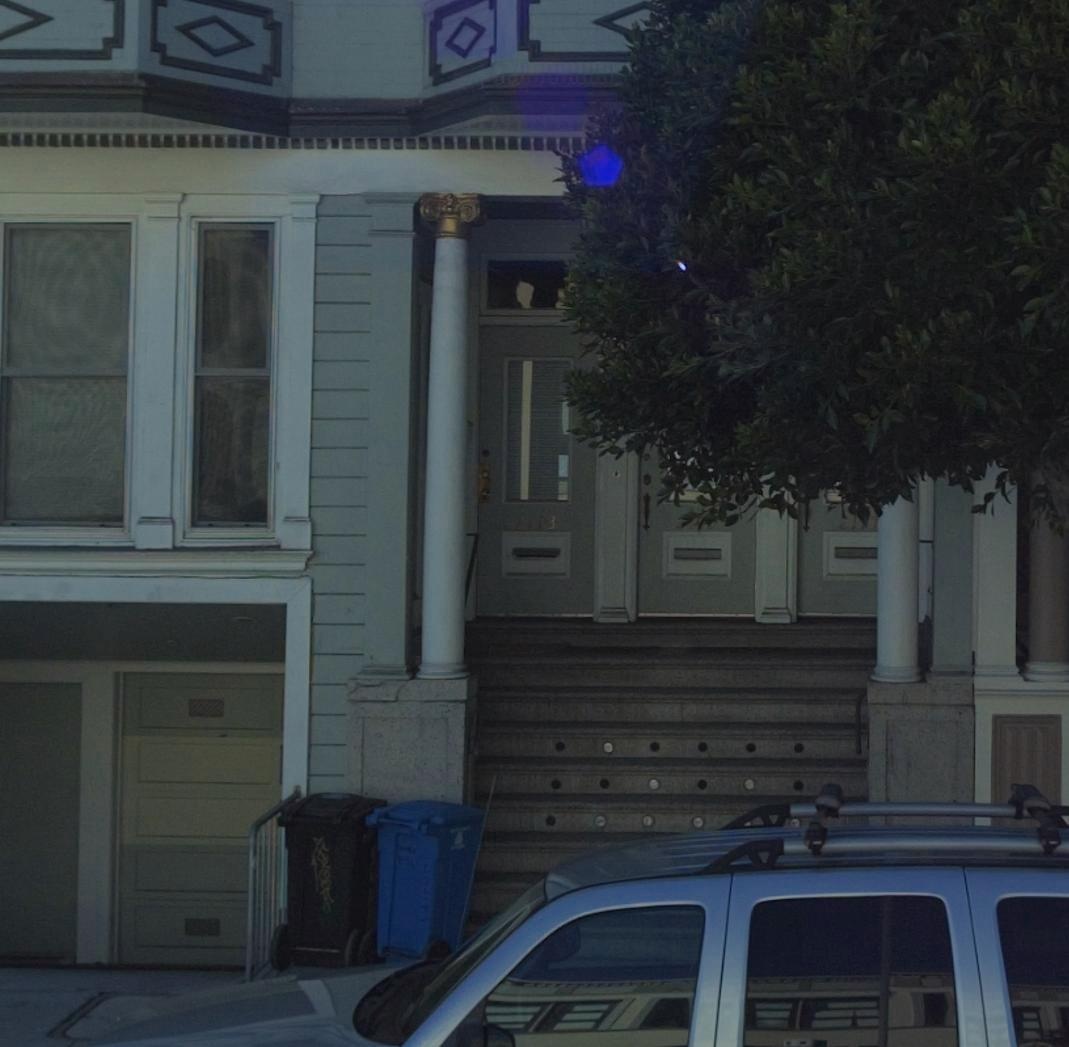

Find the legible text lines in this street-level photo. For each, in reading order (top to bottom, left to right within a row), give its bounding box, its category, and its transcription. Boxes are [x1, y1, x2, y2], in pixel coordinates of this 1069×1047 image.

[514, 512, 557, 532] StreetNumber: 2113